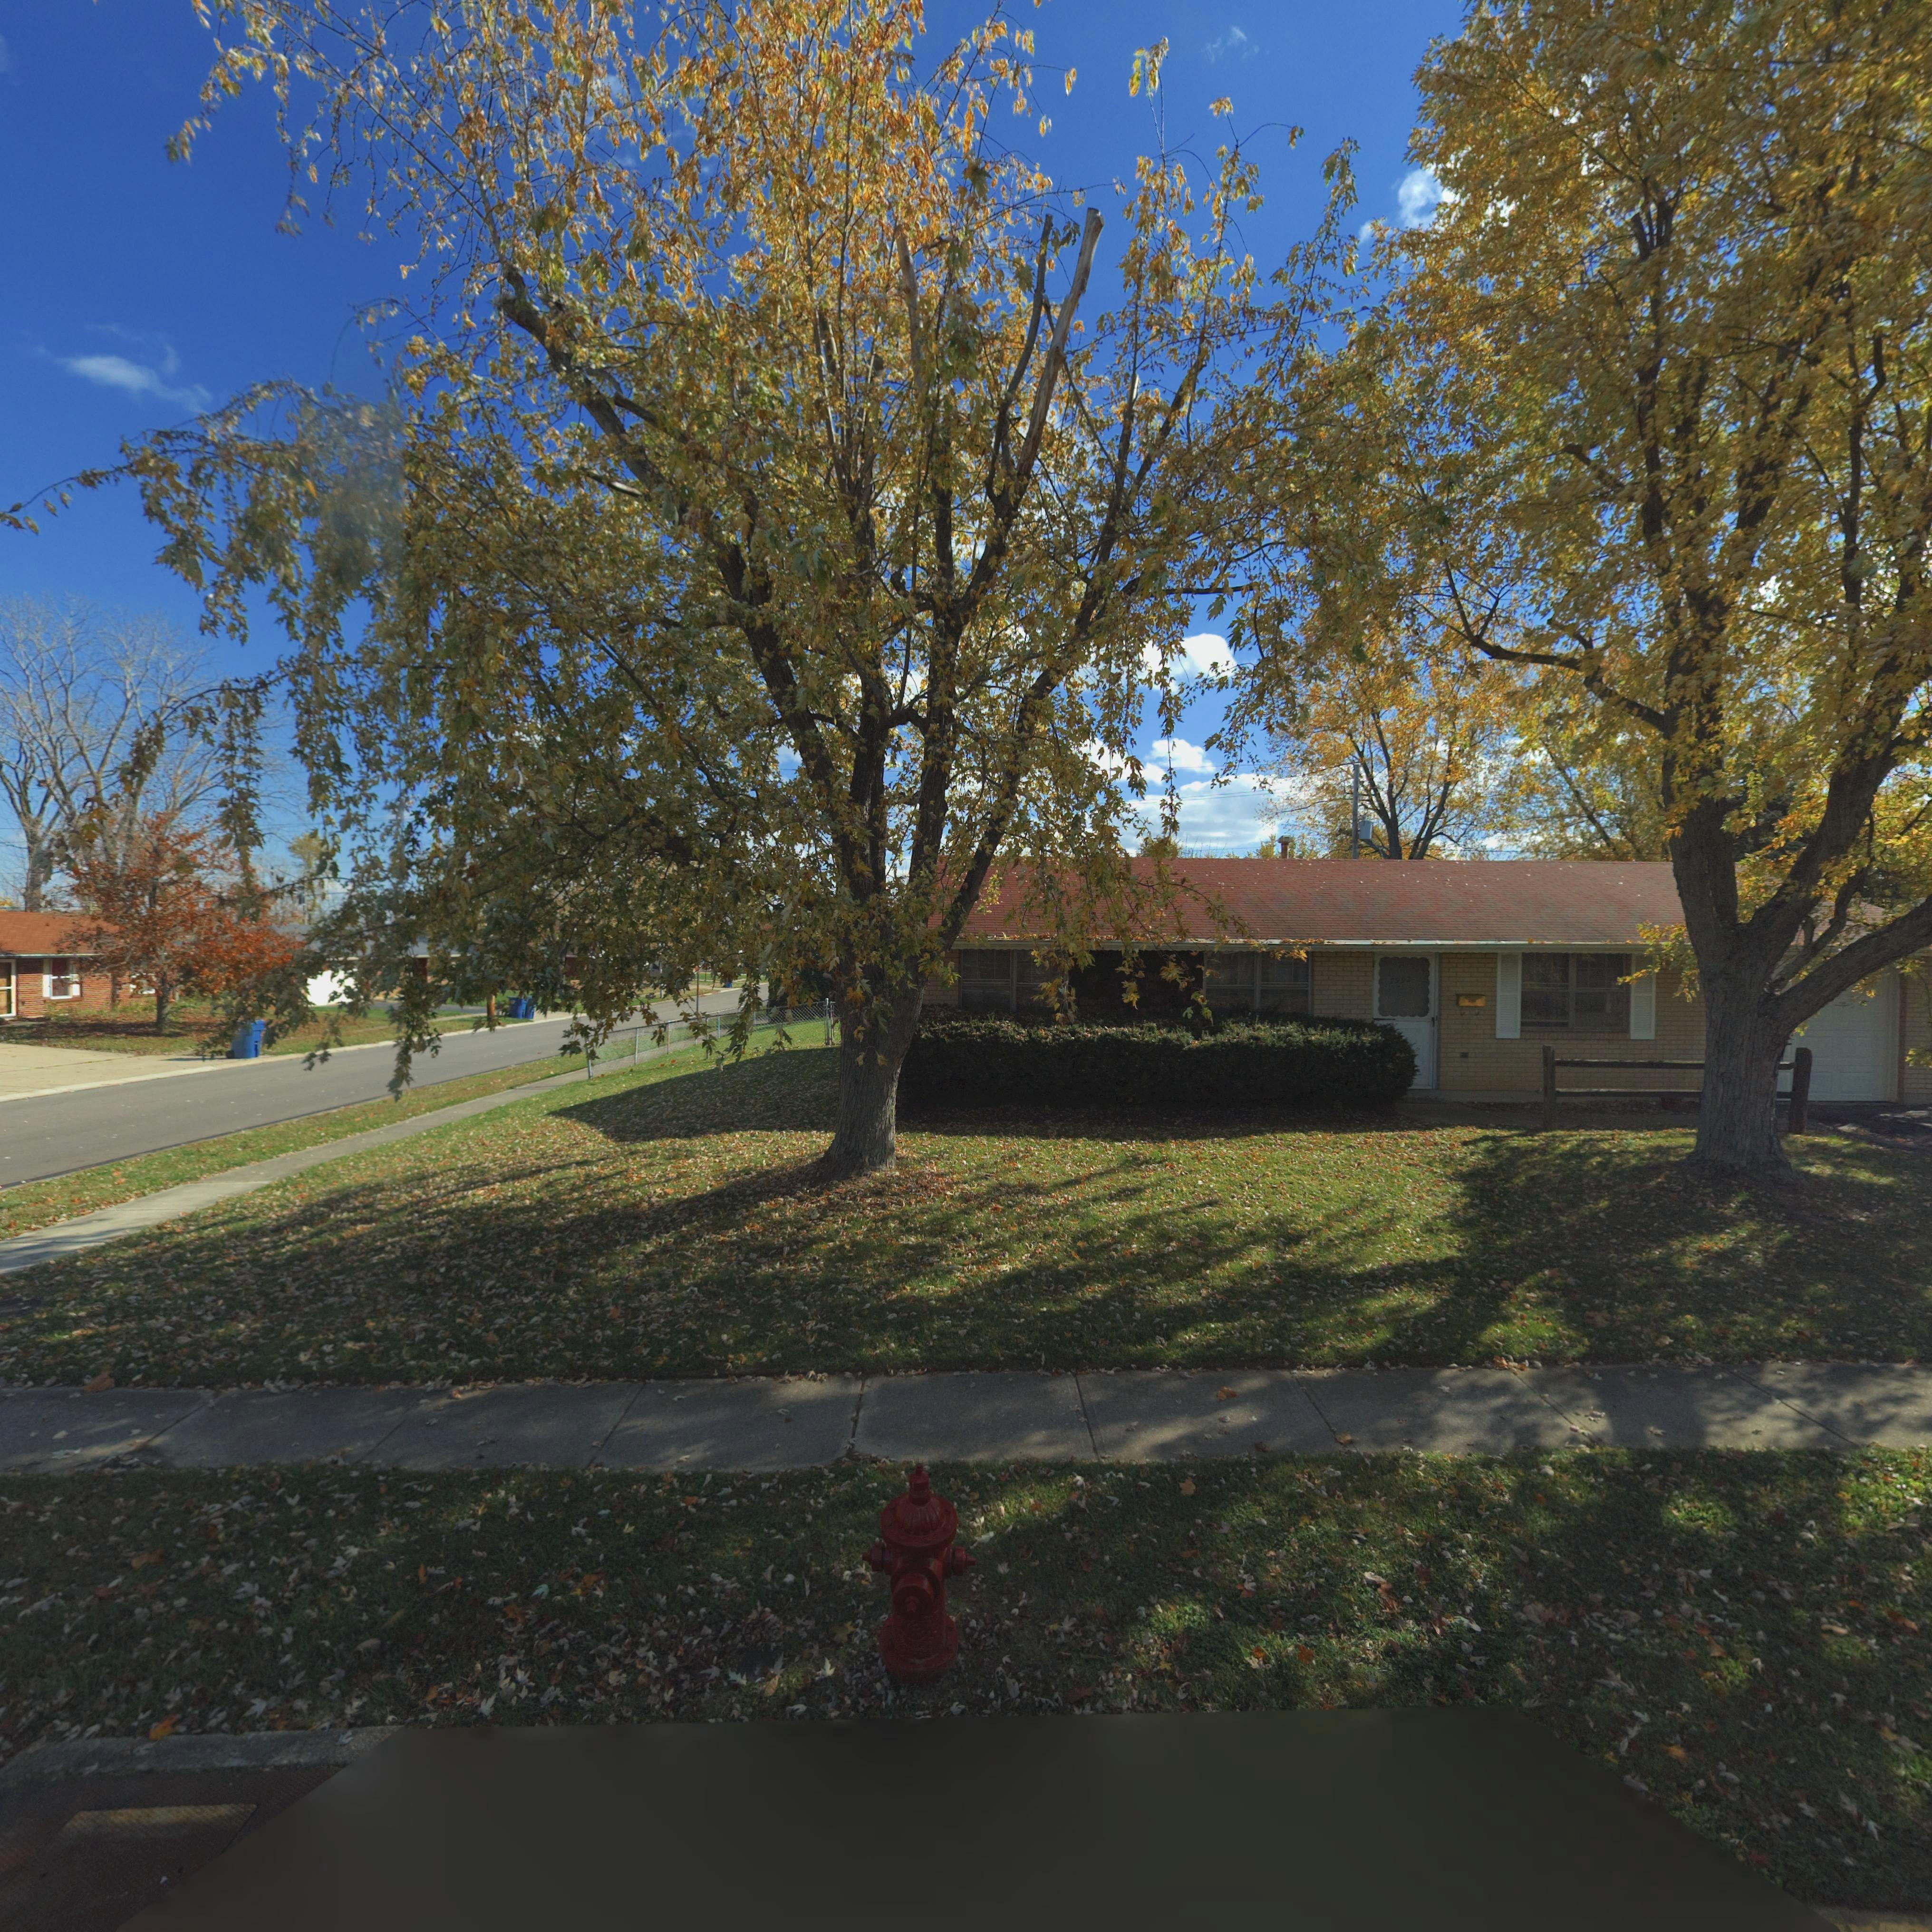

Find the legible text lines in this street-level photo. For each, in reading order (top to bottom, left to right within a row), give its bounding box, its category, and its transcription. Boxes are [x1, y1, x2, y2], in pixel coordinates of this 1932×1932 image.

[1389, 974, 1413, 986] StreetNumber: **92